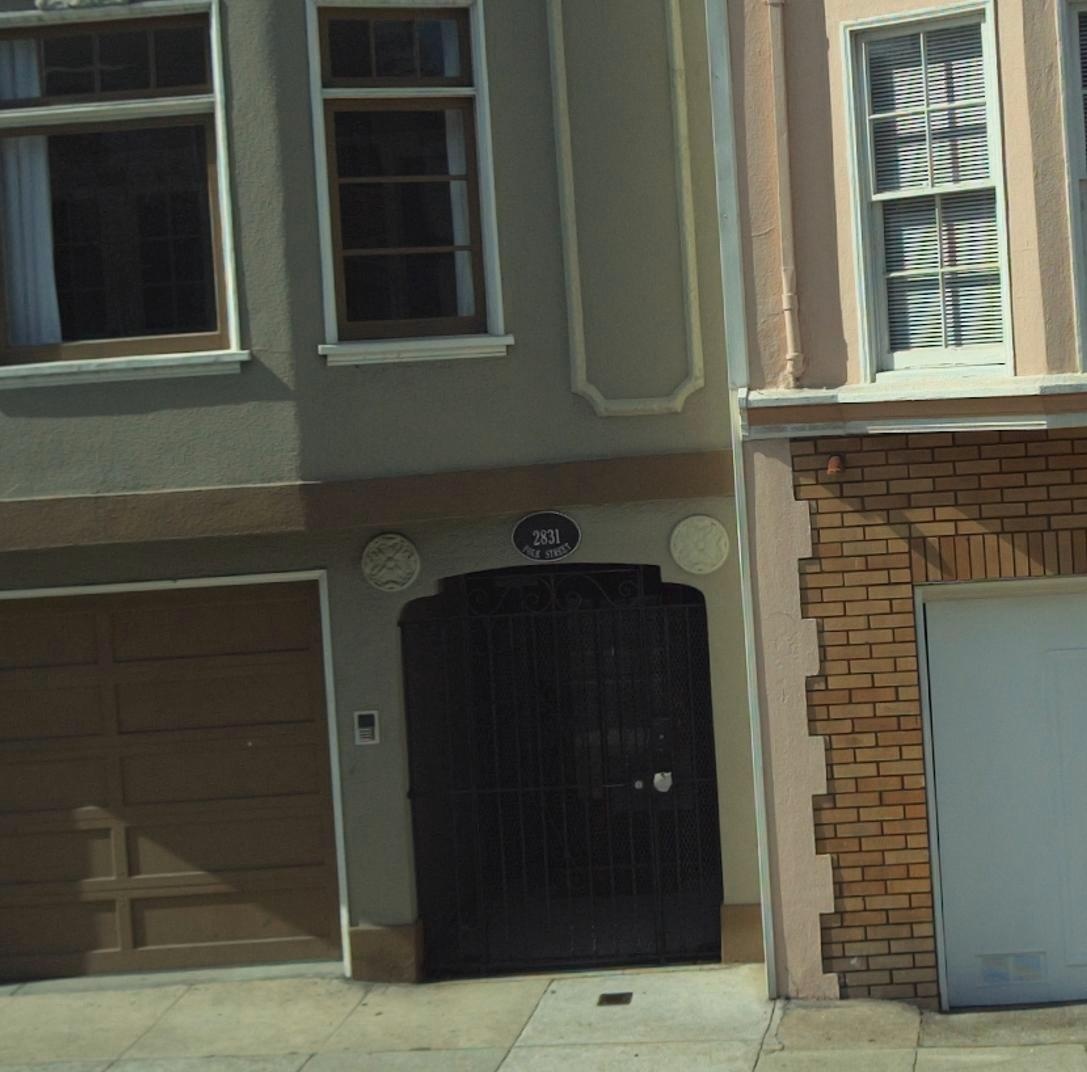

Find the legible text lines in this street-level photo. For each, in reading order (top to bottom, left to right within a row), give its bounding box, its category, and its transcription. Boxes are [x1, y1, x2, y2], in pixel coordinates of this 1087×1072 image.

[530, 527, 561, 546] StreetNumber: 2861
[519, 541, 575, 560] StreetName: **** STREET